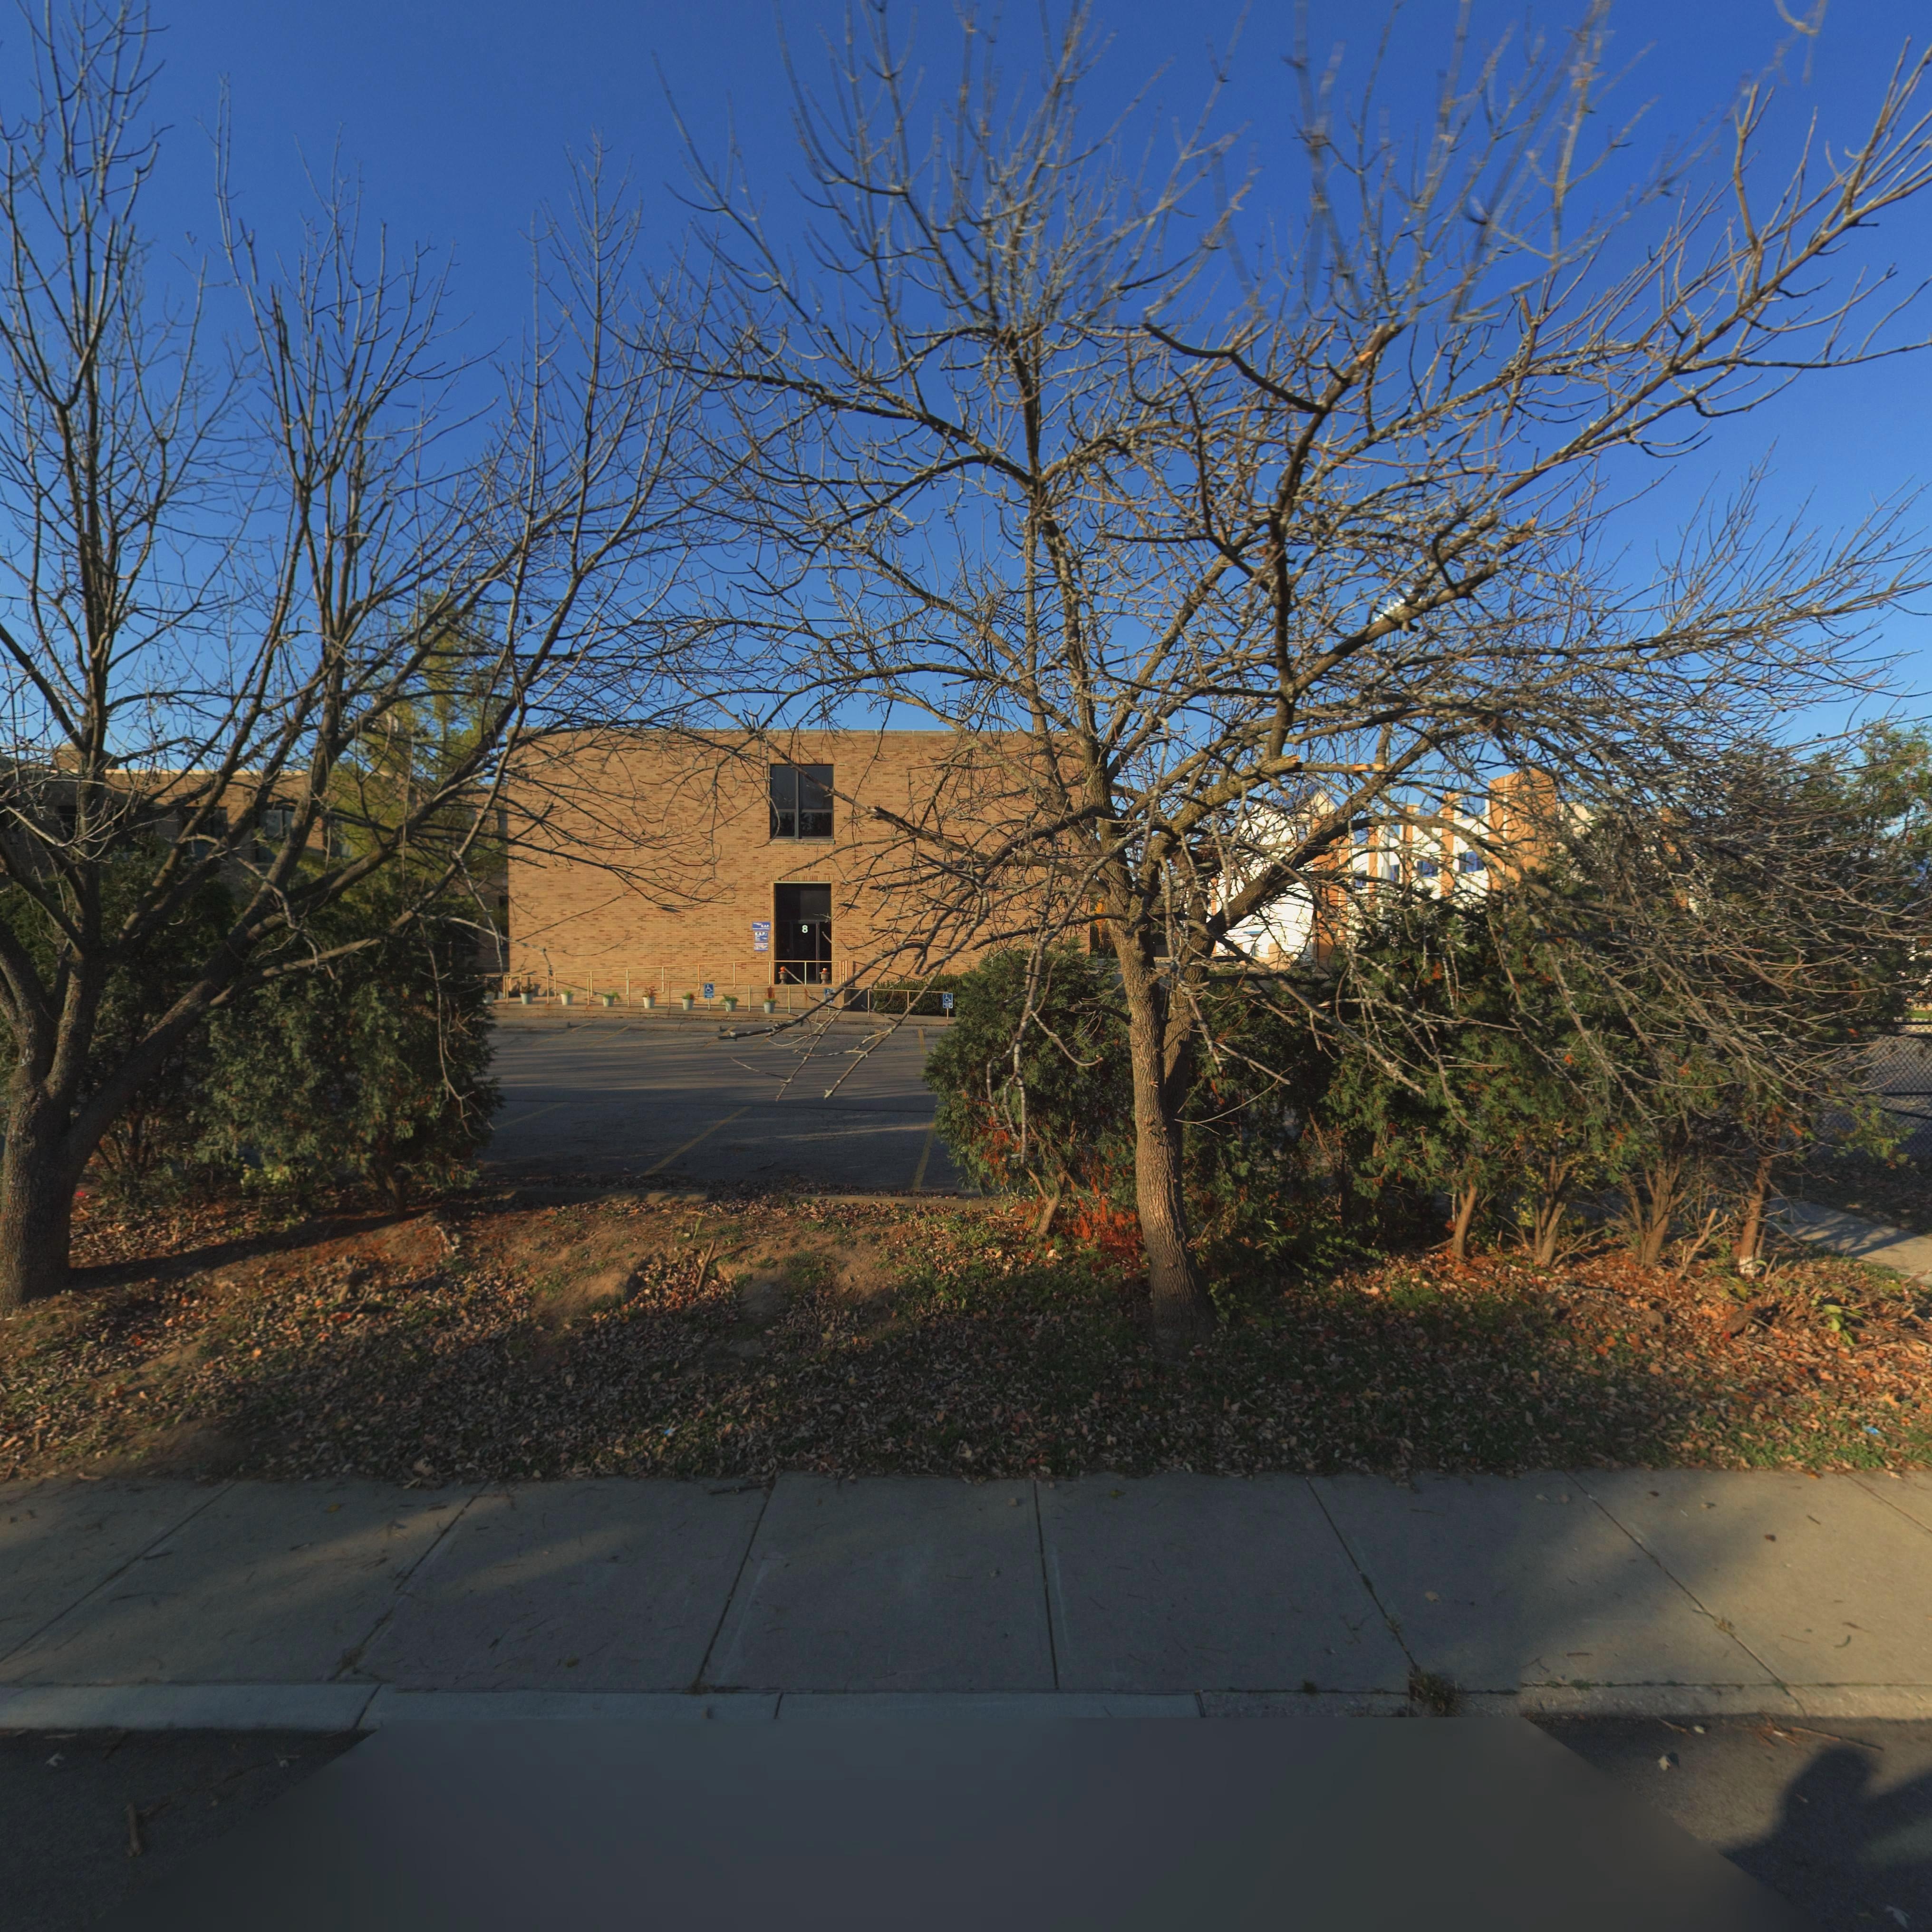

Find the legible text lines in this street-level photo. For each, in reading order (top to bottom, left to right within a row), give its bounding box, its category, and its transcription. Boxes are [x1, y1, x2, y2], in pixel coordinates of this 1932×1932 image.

[802, 924, 808, 934] StreetNumber: 8